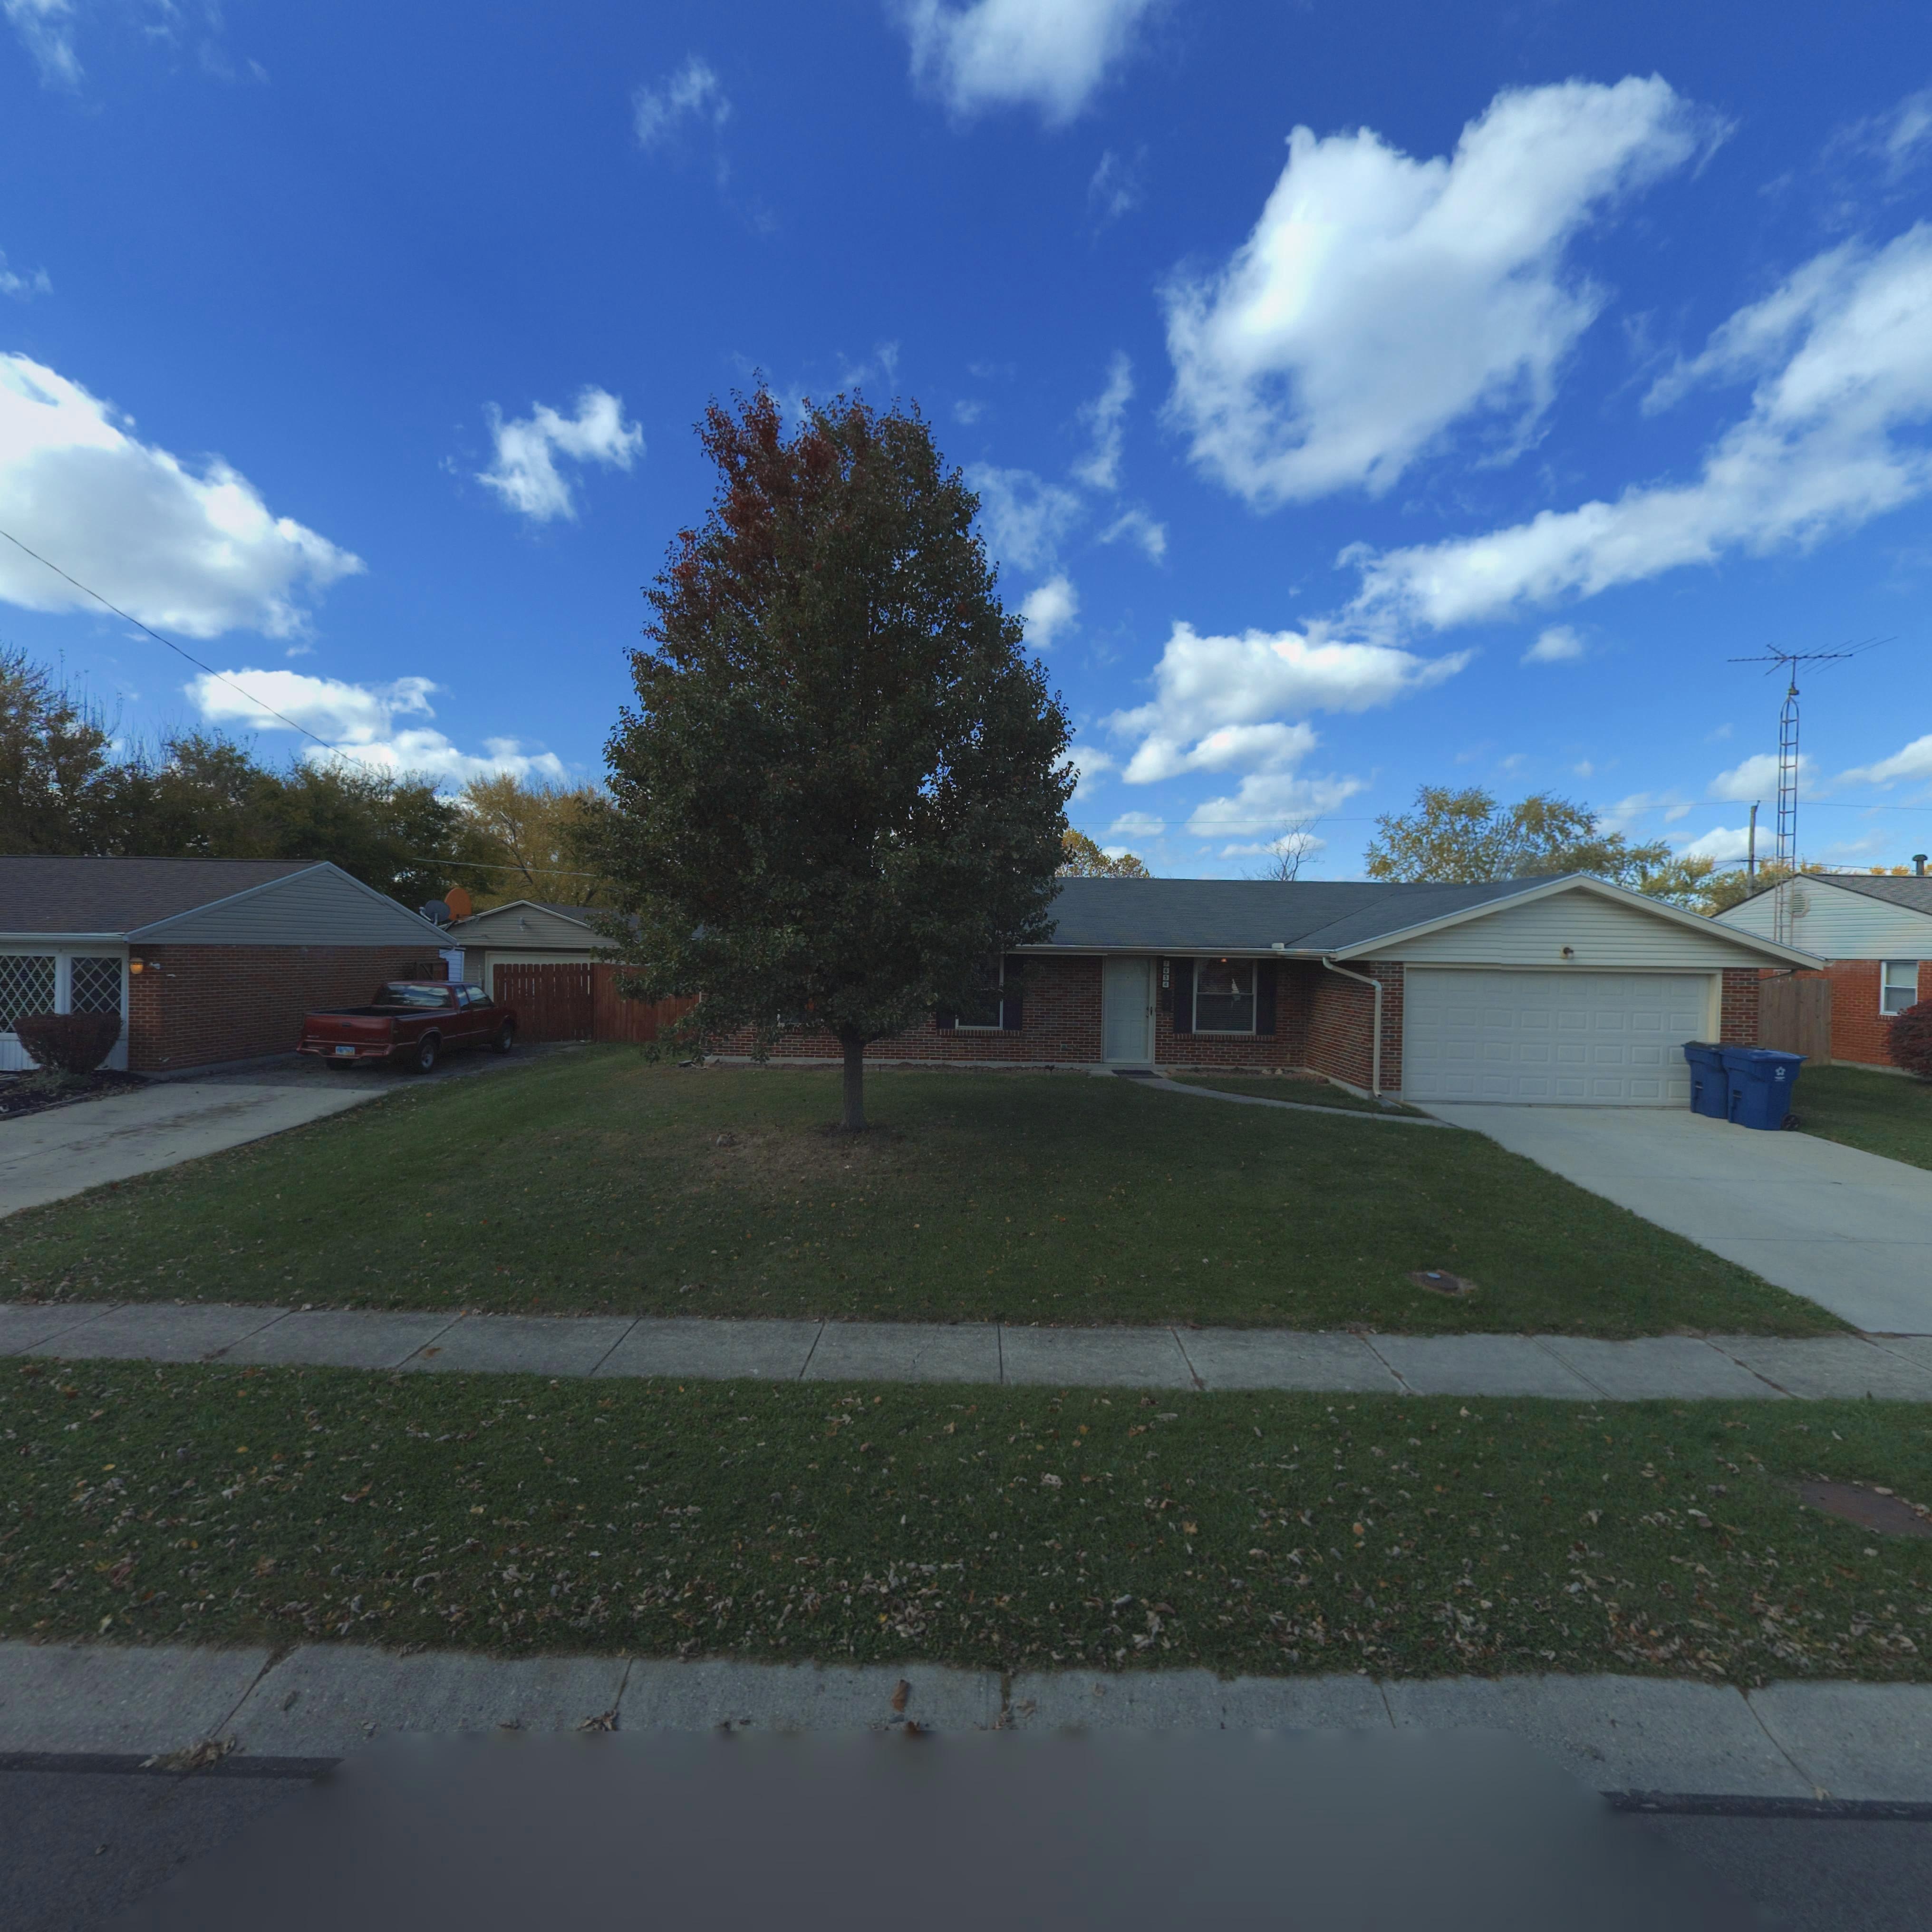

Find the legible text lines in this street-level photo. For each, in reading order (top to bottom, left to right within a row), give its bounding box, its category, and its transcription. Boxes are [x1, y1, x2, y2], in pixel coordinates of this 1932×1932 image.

[1163, 960, 1169, 987] StreetNumber: 7654